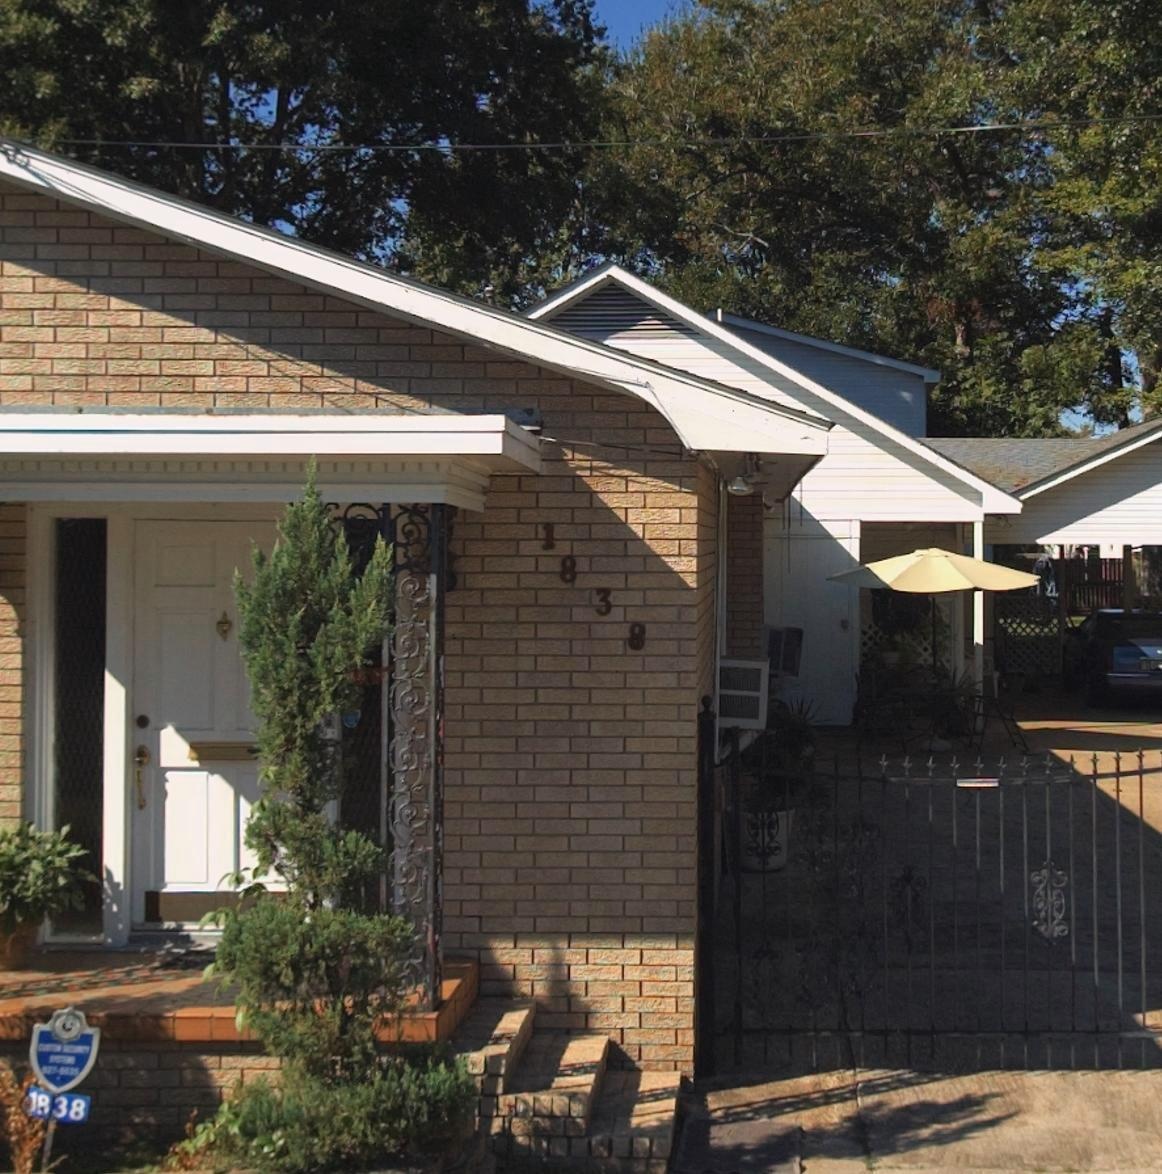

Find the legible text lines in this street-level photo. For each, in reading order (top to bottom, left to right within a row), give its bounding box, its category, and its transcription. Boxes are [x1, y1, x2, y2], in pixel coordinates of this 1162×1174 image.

[538, 519, 649, 655] StreetNumber: 1838
[27, 1088, 89, 1123] StreetNumber: 1838